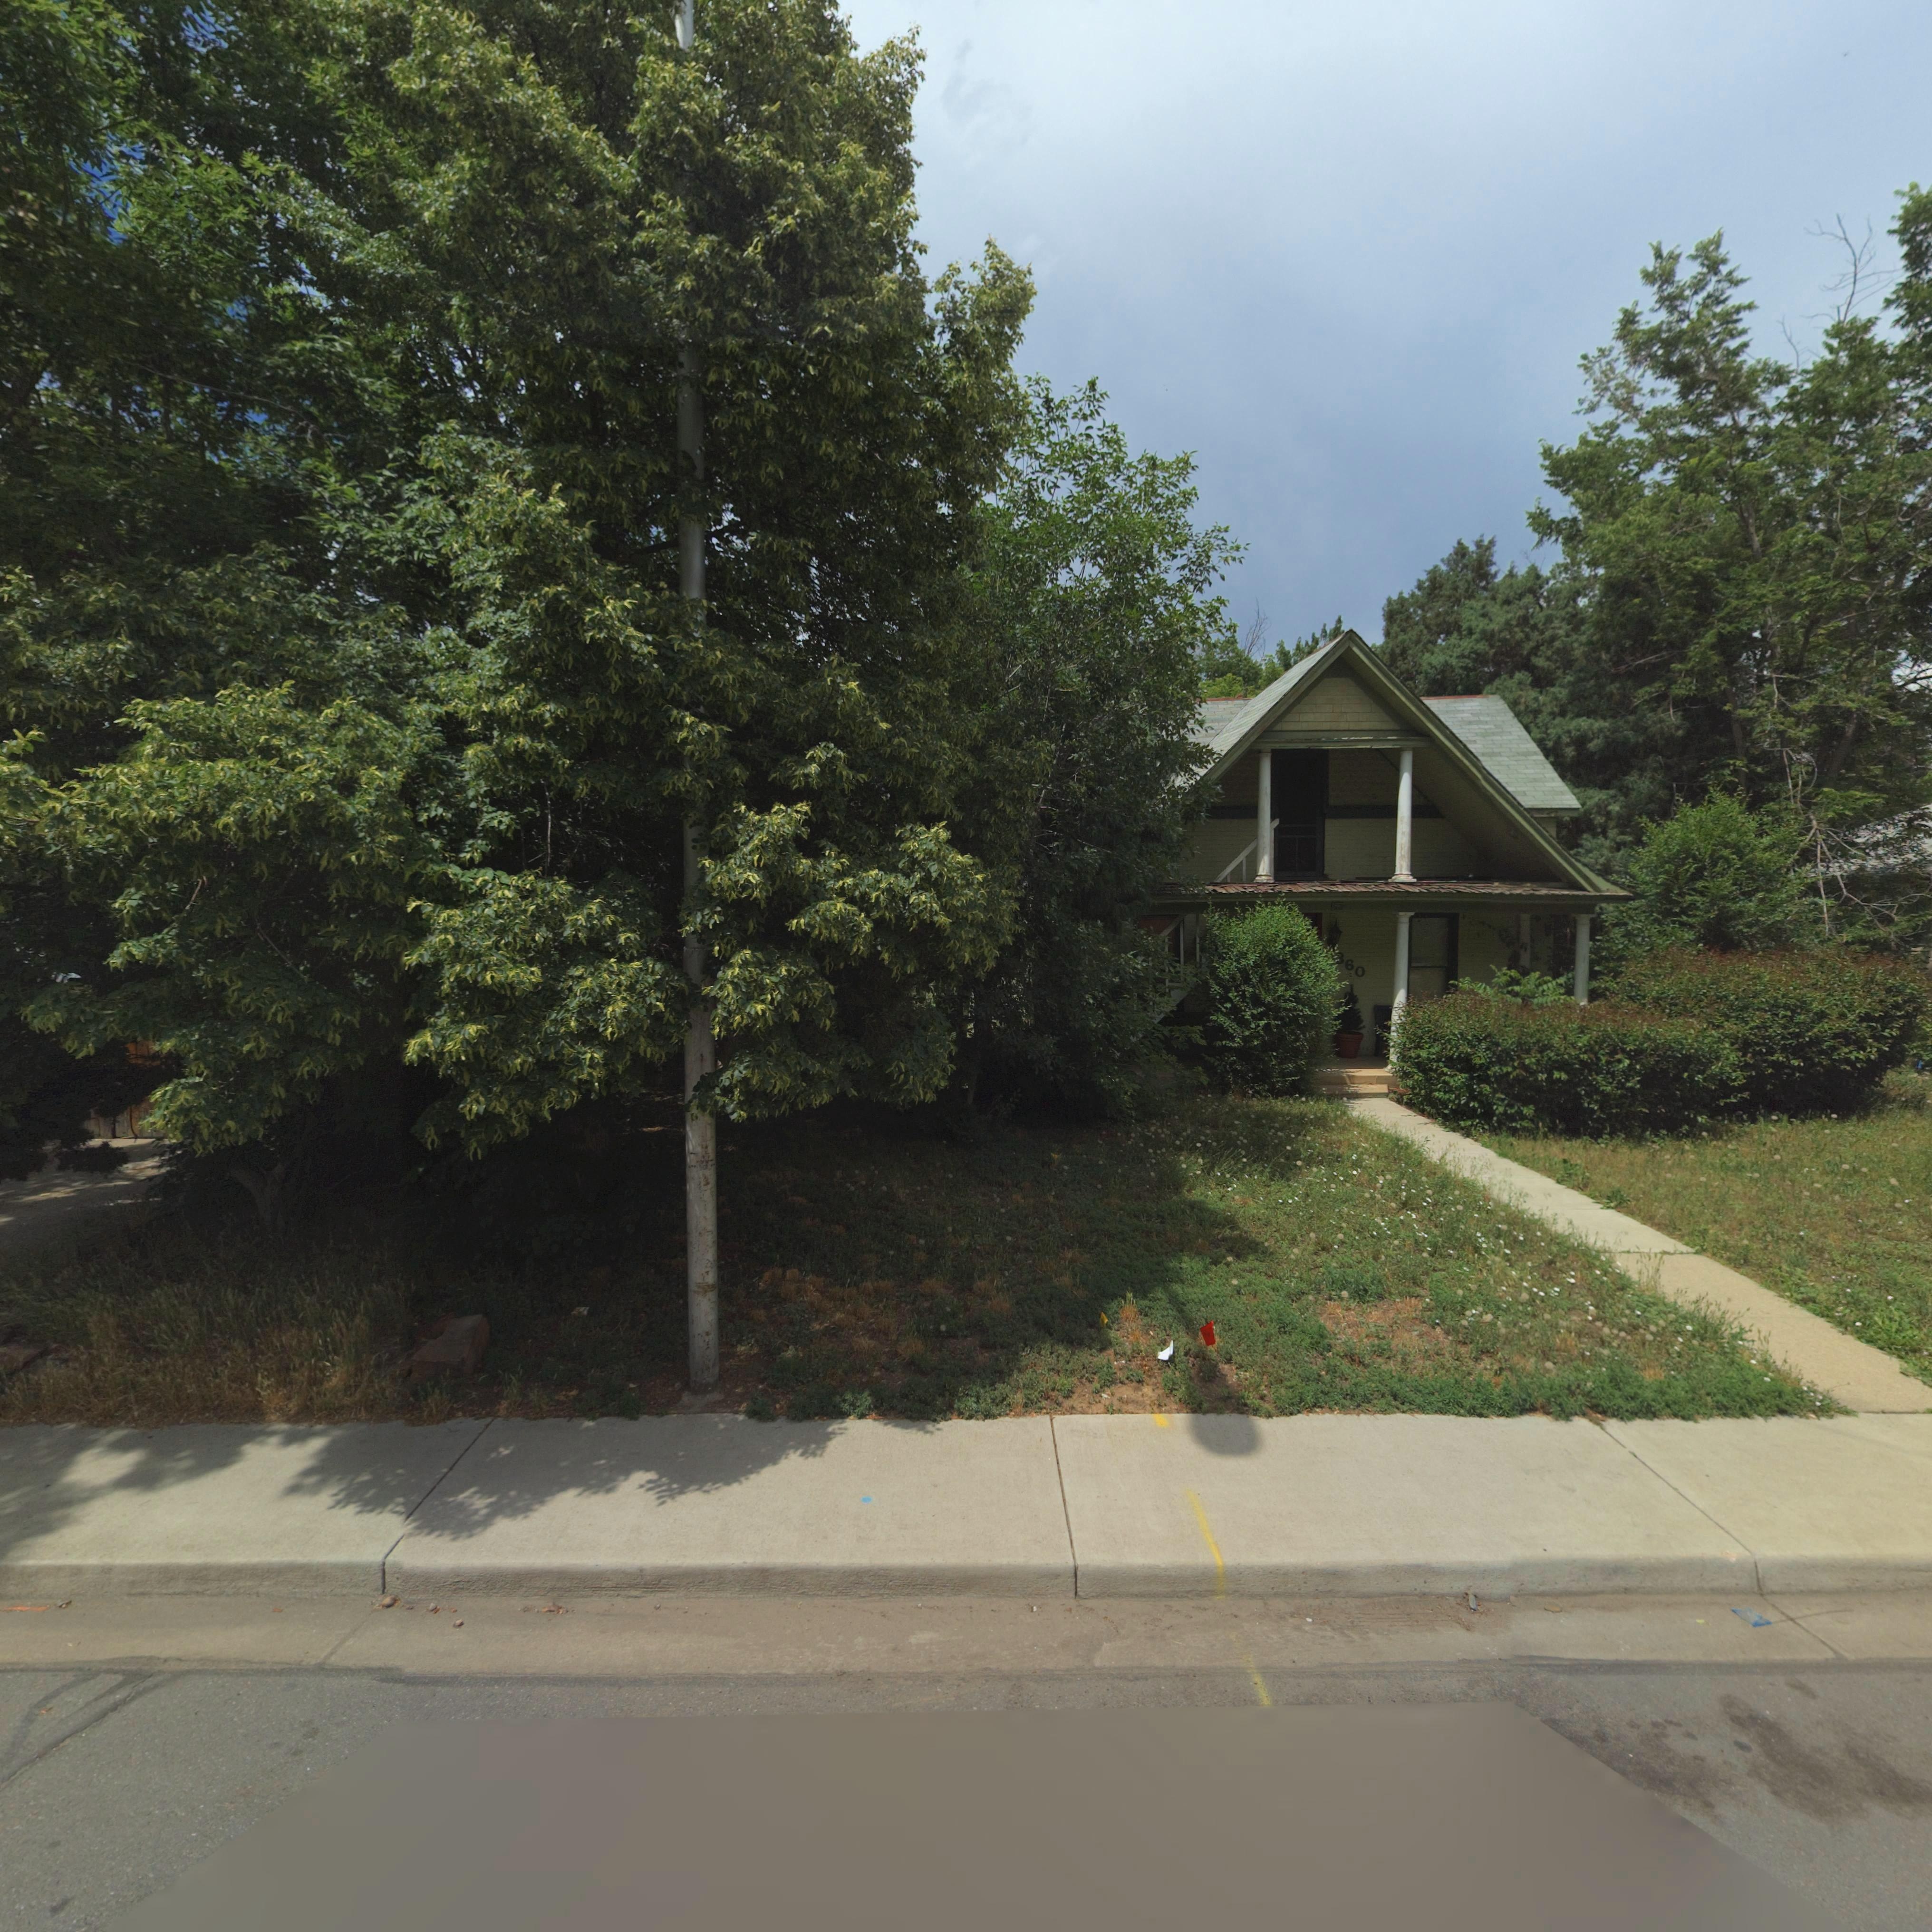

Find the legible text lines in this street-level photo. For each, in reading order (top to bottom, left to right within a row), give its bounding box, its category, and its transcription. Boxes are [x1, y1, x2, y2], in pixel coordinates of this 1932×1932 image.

[1332, 950, 1367, 979] StreetNumber: 360